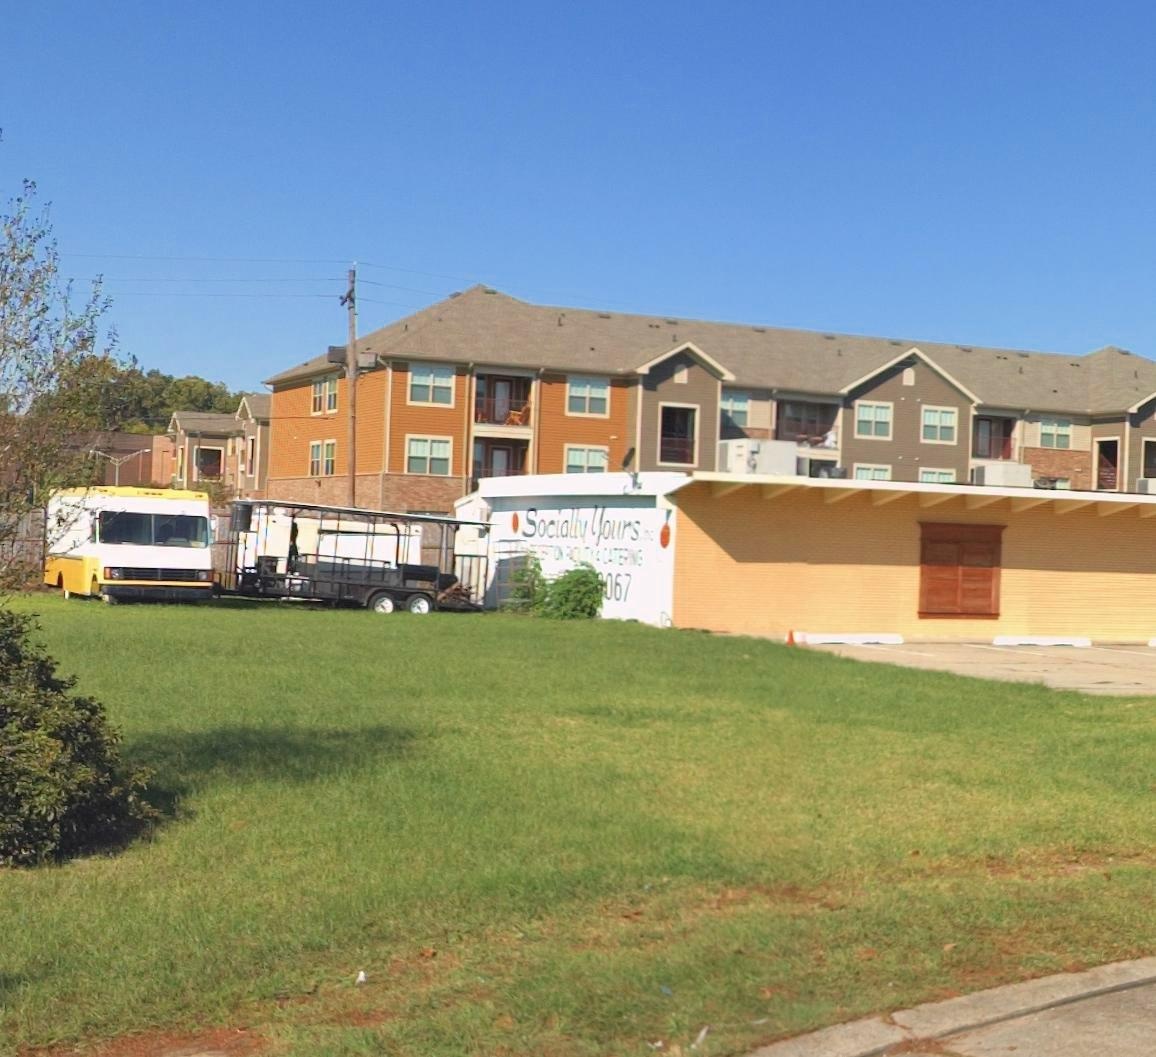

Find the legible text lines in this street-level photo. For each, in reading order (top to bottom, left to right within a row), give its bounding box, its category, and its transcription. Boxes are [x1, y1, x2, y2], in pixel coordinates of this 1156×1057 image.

[518, 502, 644, 549] BusinessName: Socially Yours
[551, 542, 566, 564] None: ON
[599, 543, 645, 571] None: CA*ER**G
[604, 570, 636, 605] None: 067